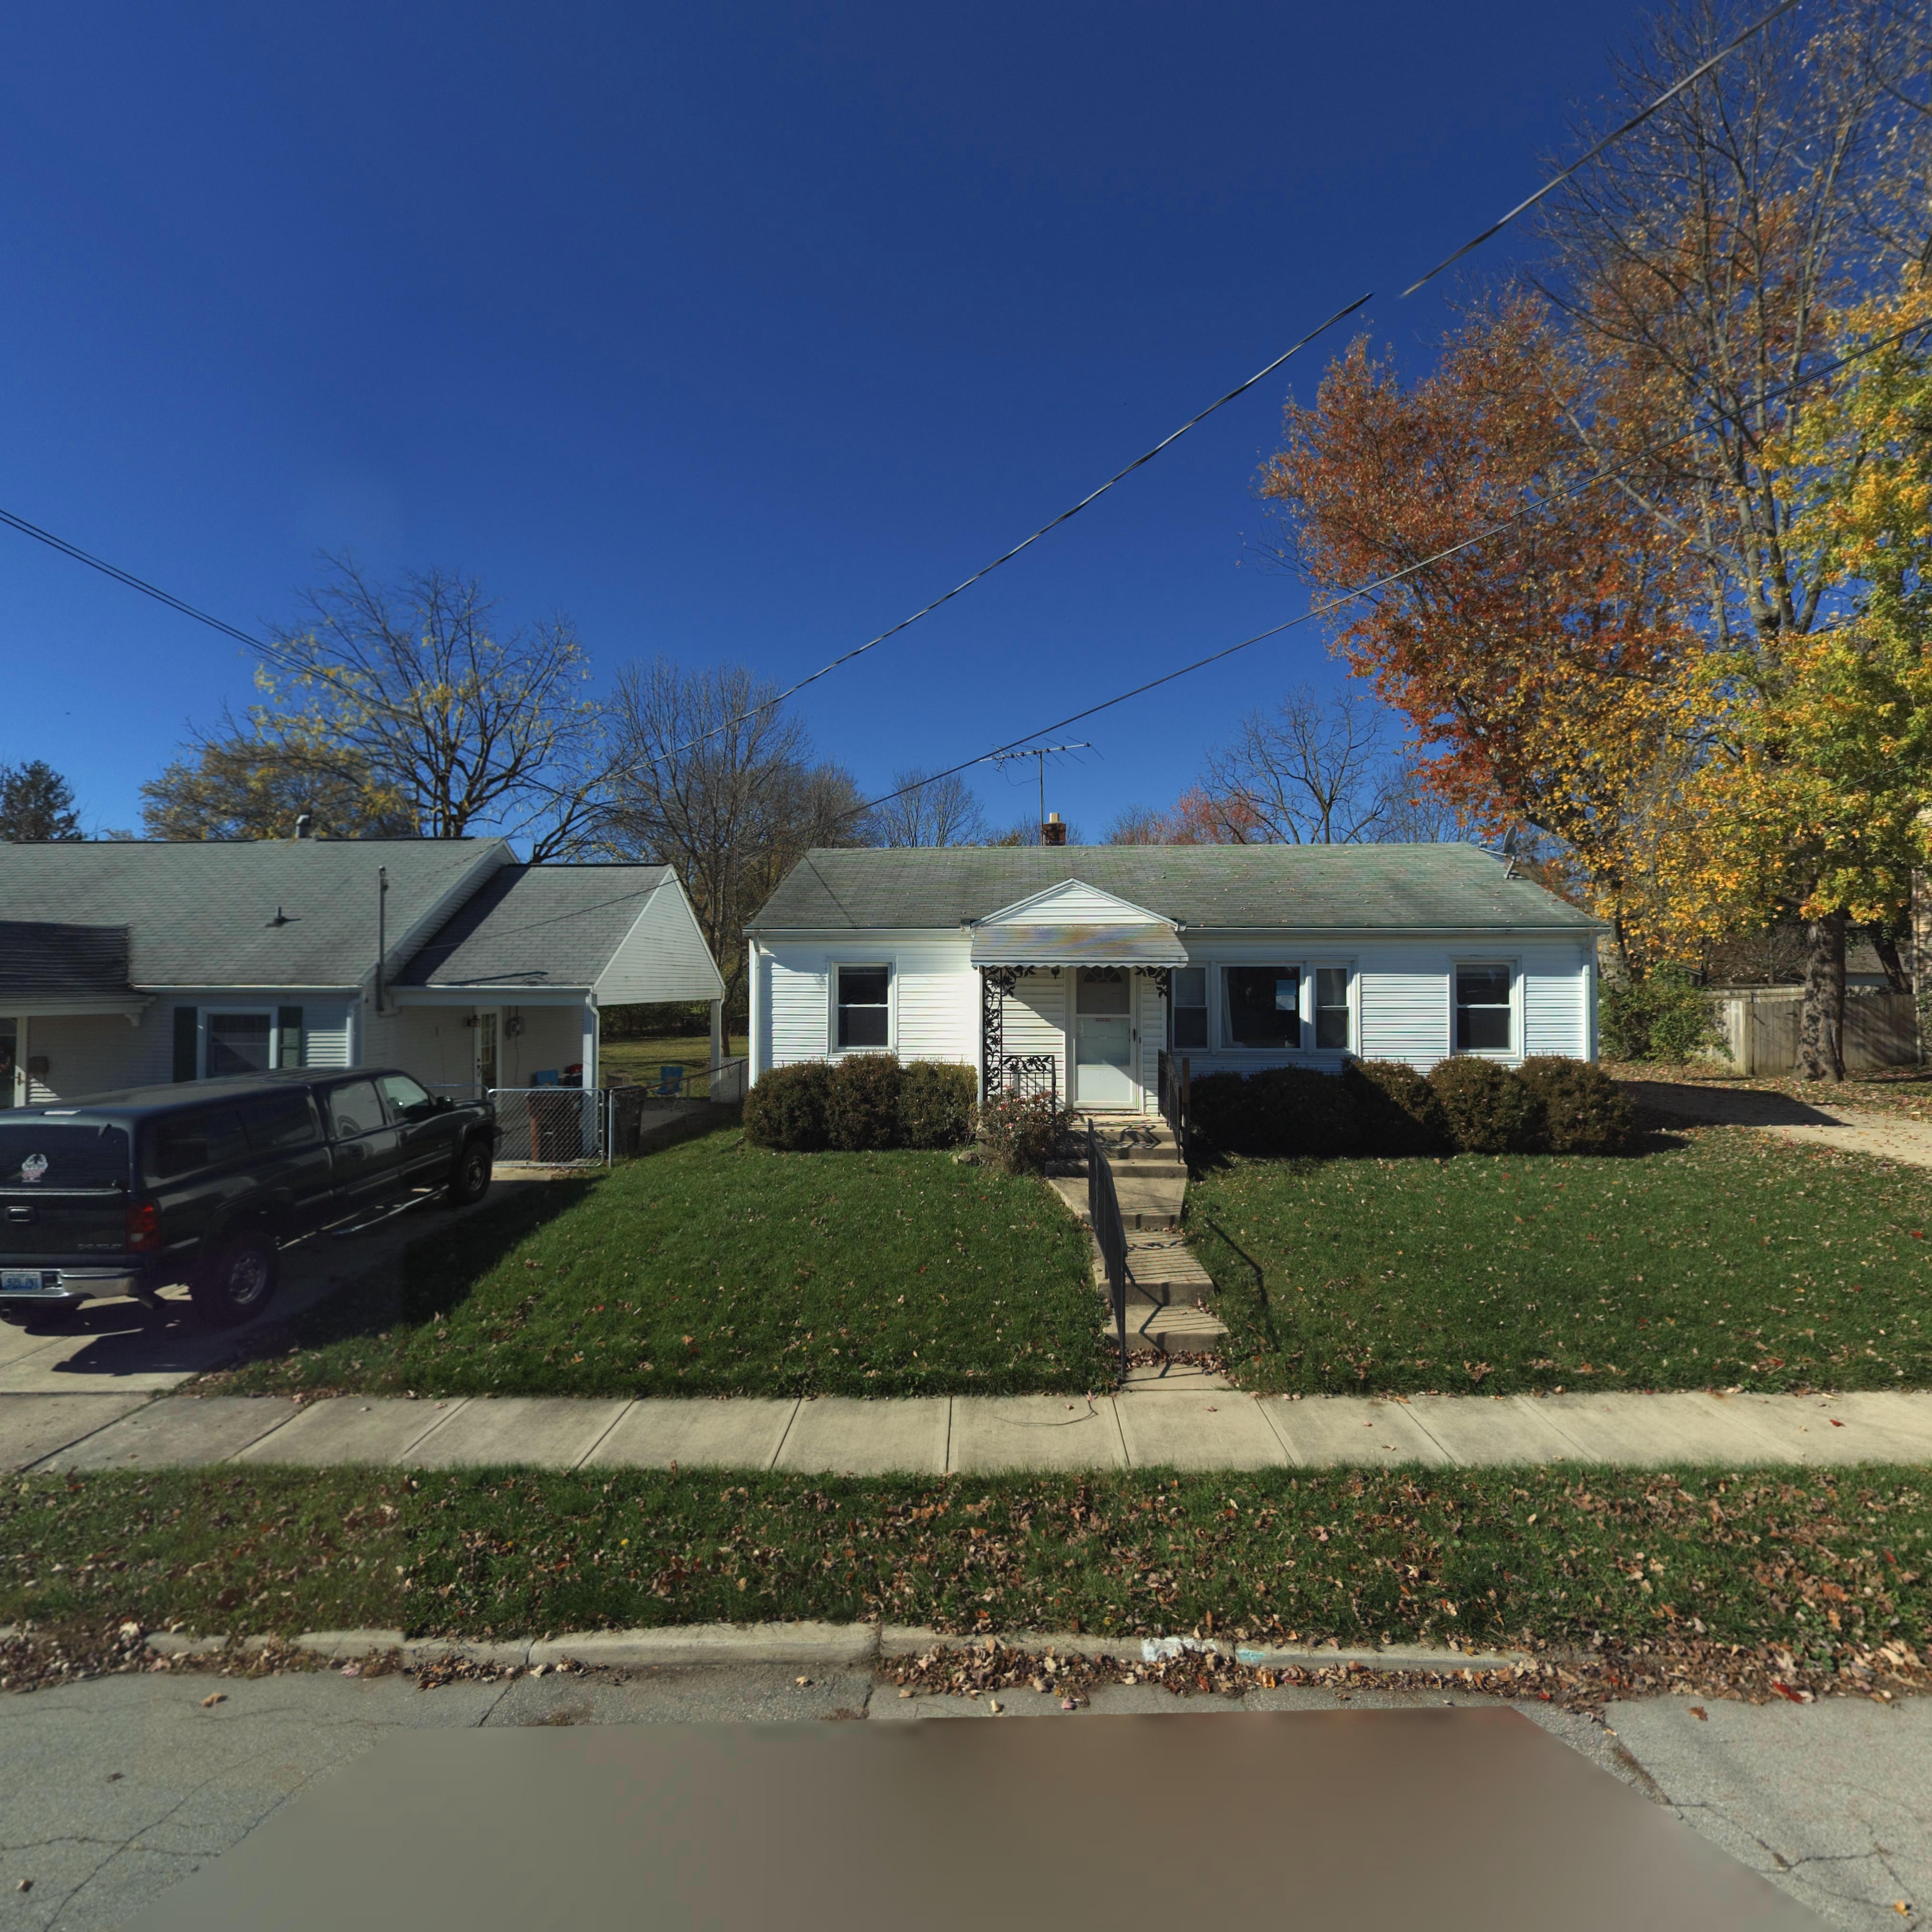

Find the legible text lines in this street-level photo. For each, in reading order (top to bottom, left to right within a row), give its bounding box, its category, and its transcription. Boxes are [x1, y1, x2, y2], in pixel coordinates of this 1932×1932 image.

[1144, 985, 1155, 991] StreetNumber: 215
[6, 1277, 12, 1287] None: 9